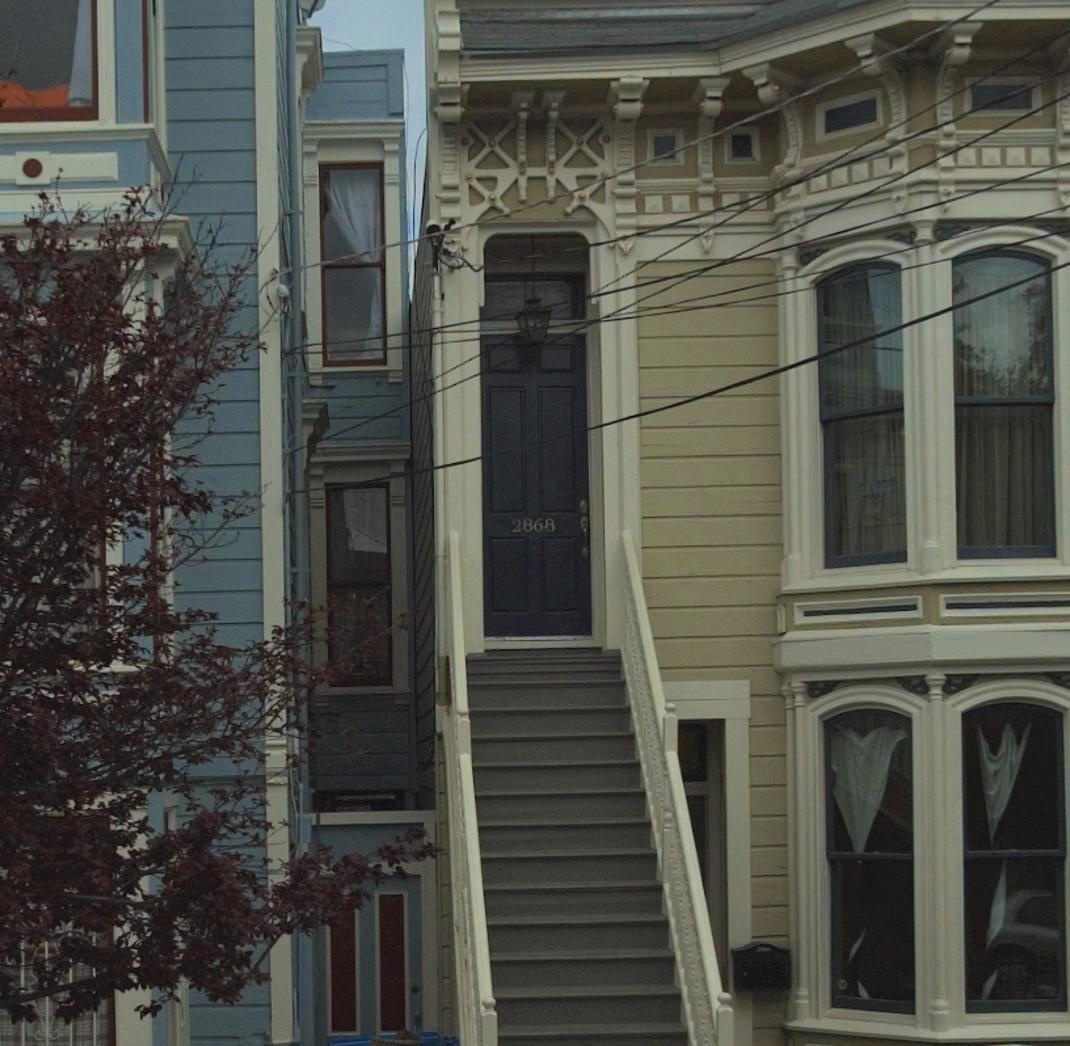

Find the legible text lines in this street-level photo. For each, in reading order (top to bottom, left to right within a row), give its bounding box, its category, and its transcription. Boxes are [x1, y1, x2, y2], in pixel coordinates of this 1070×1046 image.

[511, 517, 556, 534] StreetNumber: 2868